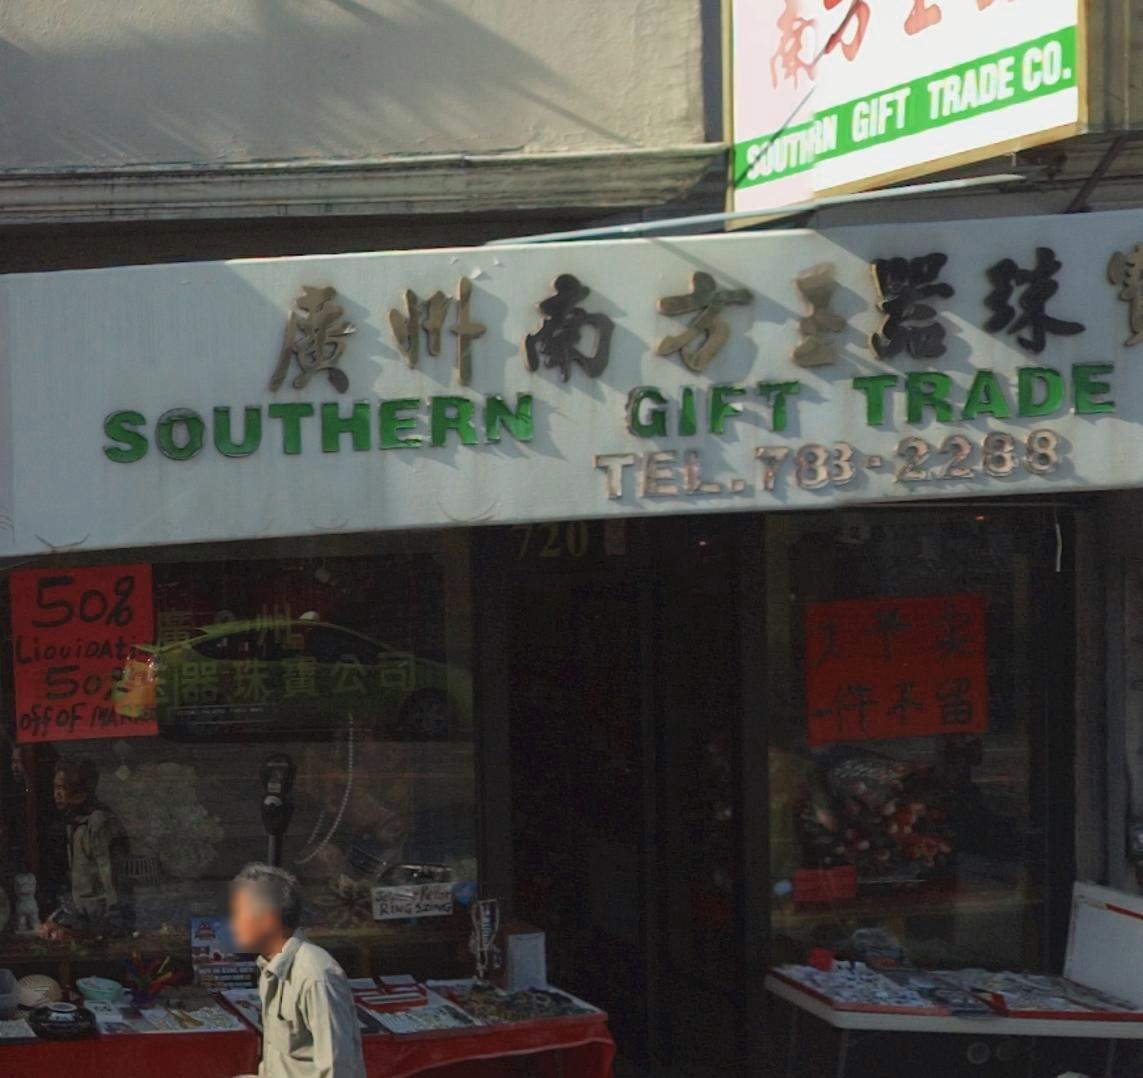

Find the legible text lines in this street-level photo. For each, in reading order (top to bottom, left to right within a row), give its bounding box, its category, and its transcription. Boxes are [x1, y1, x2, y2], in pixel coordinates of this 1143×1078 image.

[744, 36, 1074, 184] BusinessName: SOUTH*N GIFT TRADE CO.
[99, 358, 1119, 467] BusinessName: SOUTH GIFT TRADE
[591, 426, 1065, 504] None: TEL.78*-2288
[509, 520, 589, 564] StreetNumber: 720
[32, 573, 137, 630] None: 50%
[13, 633, 137, 665] None: LiQuiDAti
[43, 663, 104, 701] None: 50
[17, 701, 136, 738] None: off of MAR
[378, 900, 423, 918] None: Ring S